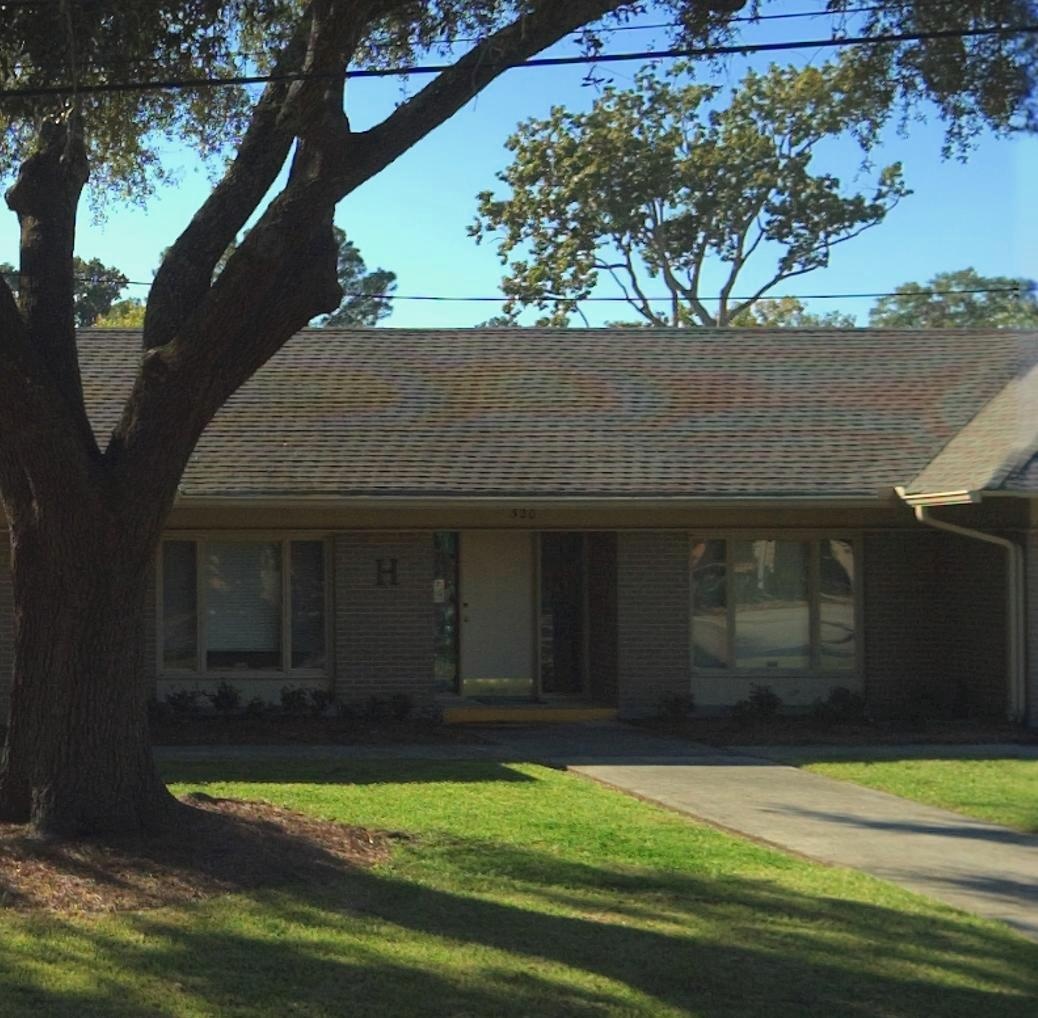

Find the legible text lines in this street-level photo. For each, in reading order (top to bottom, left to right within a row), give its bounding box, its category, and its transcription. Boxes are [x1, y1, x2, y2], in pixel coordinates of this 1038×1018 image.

[509, 507, 538, 520] StreetNumber: 520
[374, 556, 401, 587] None: H